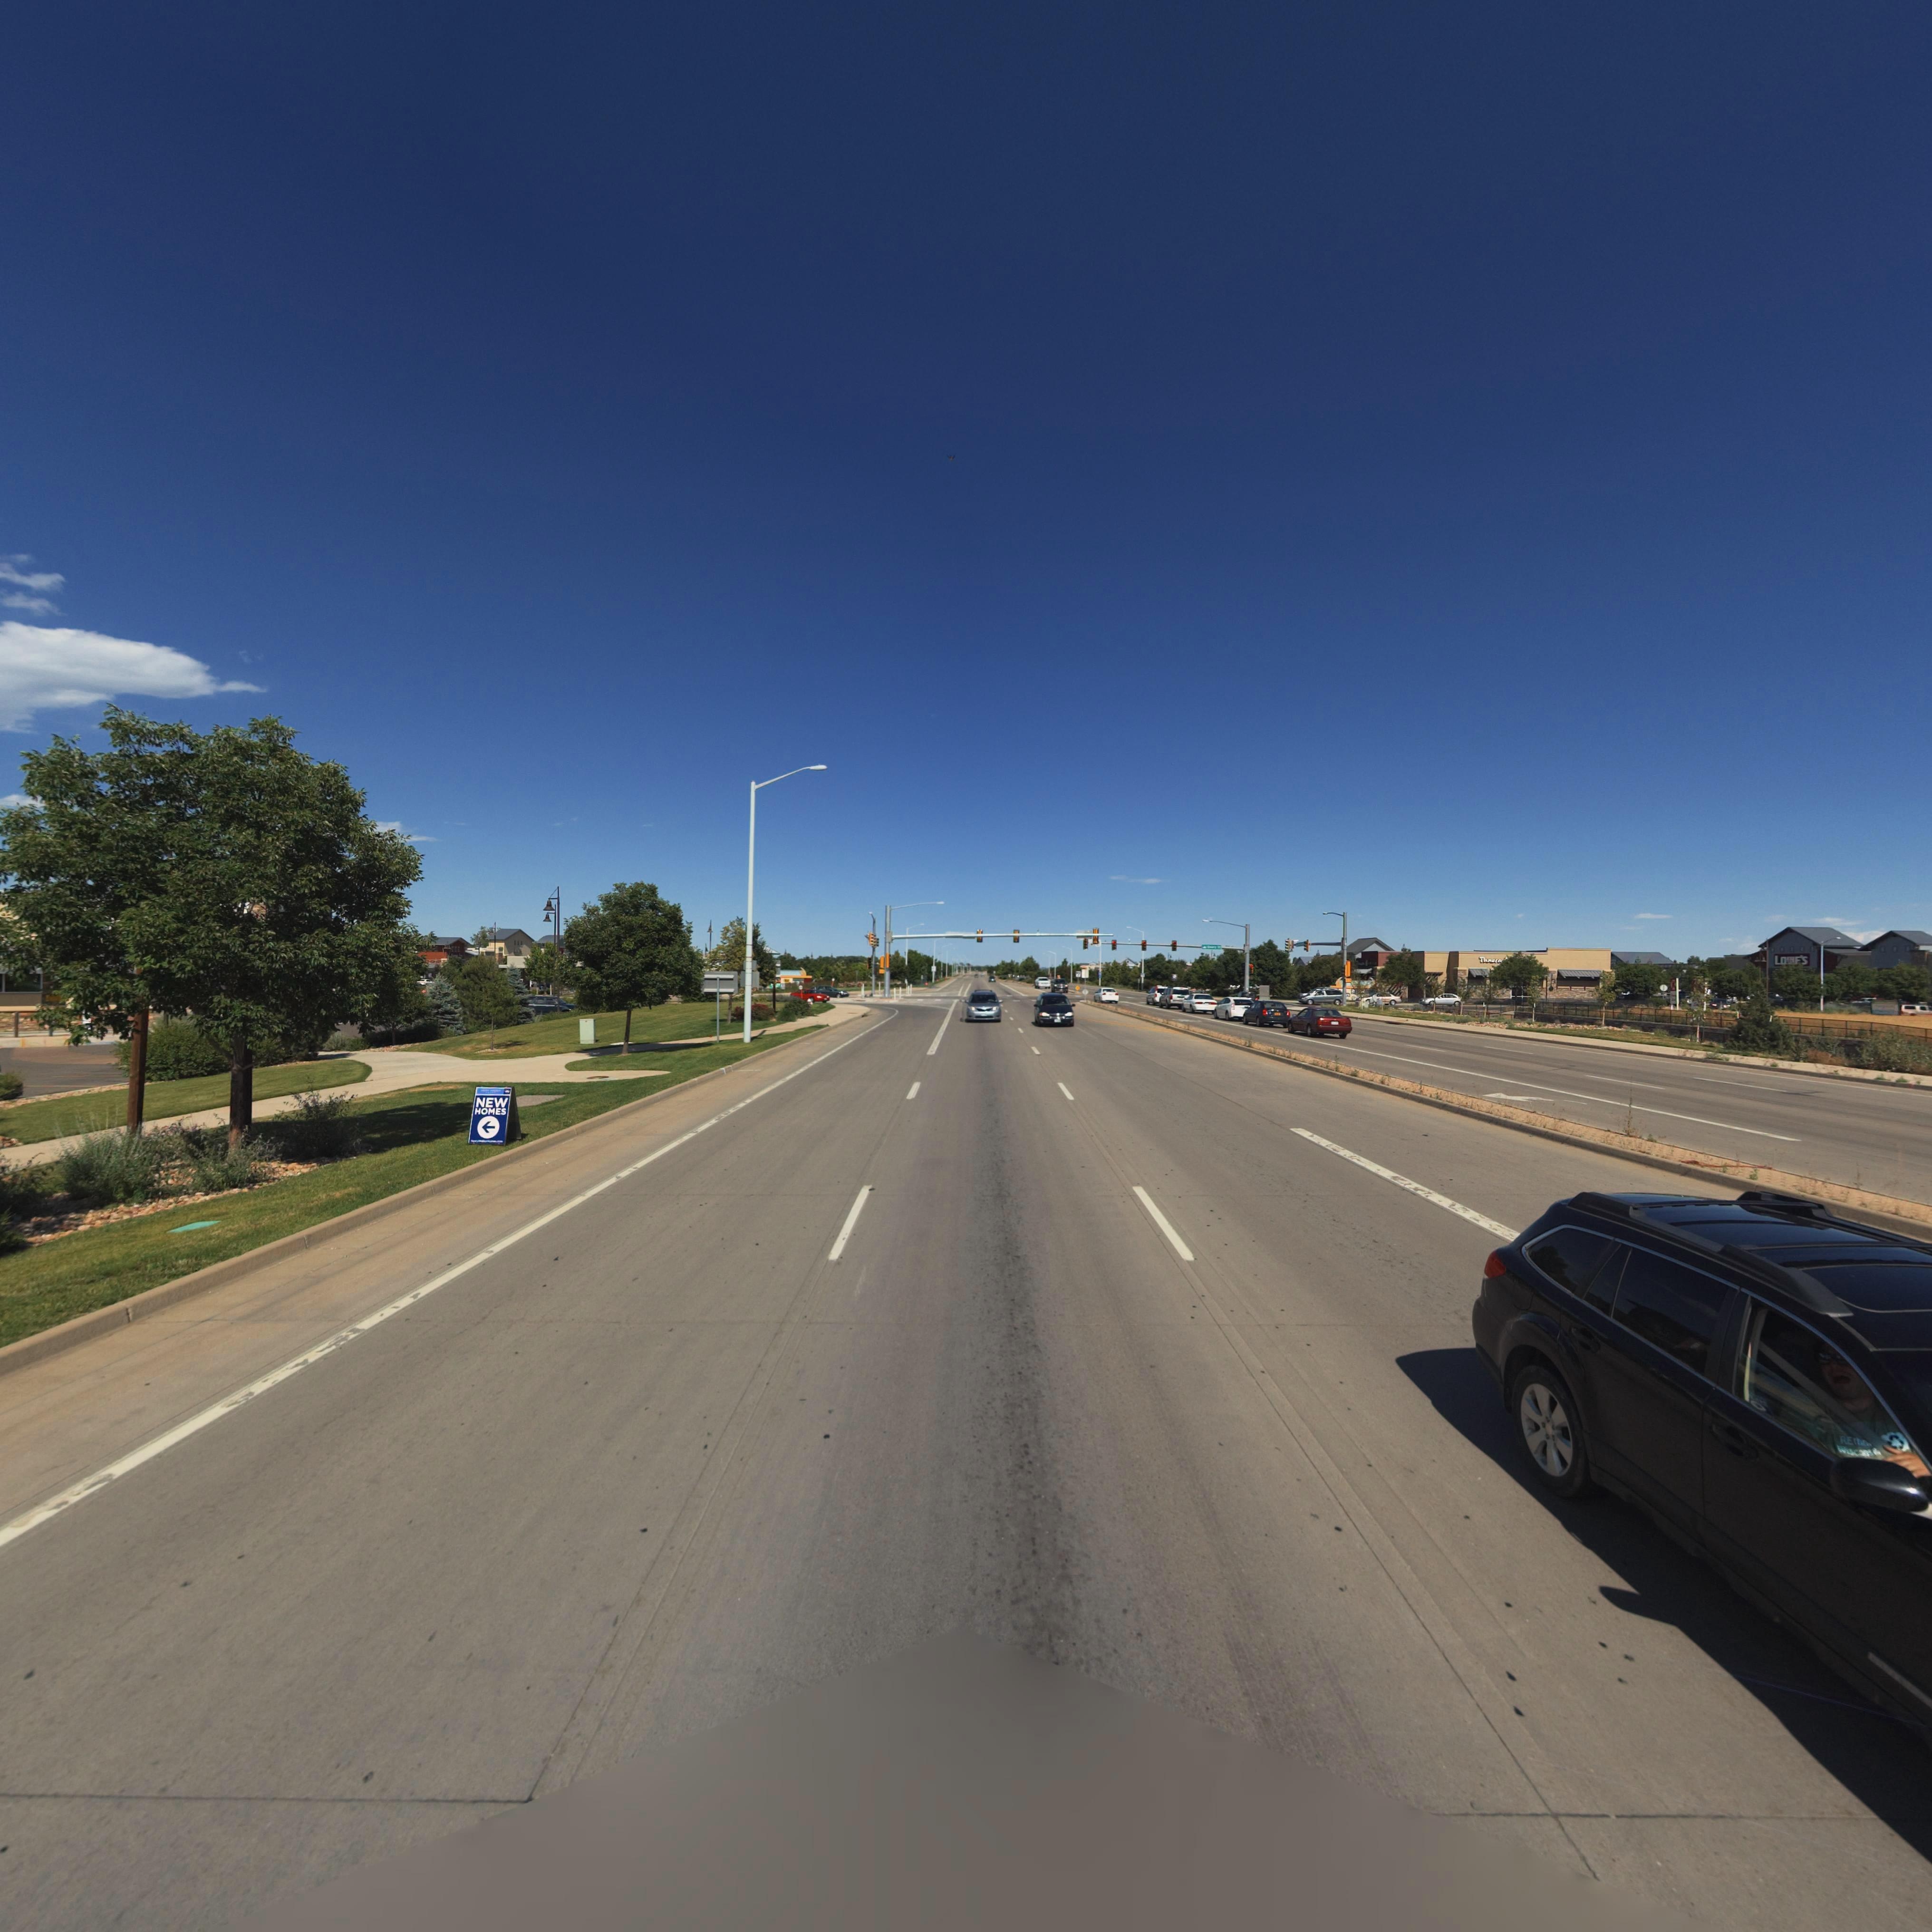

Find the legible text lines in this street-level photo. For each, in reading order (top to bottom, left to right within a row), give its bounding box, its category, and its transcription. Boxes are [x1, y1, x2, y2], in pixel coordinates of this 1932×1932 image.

[1479, 956, 1502, 962] BusinessName: Panera
[1774, 955, 1808, 965] BusinessName: LOWE'S